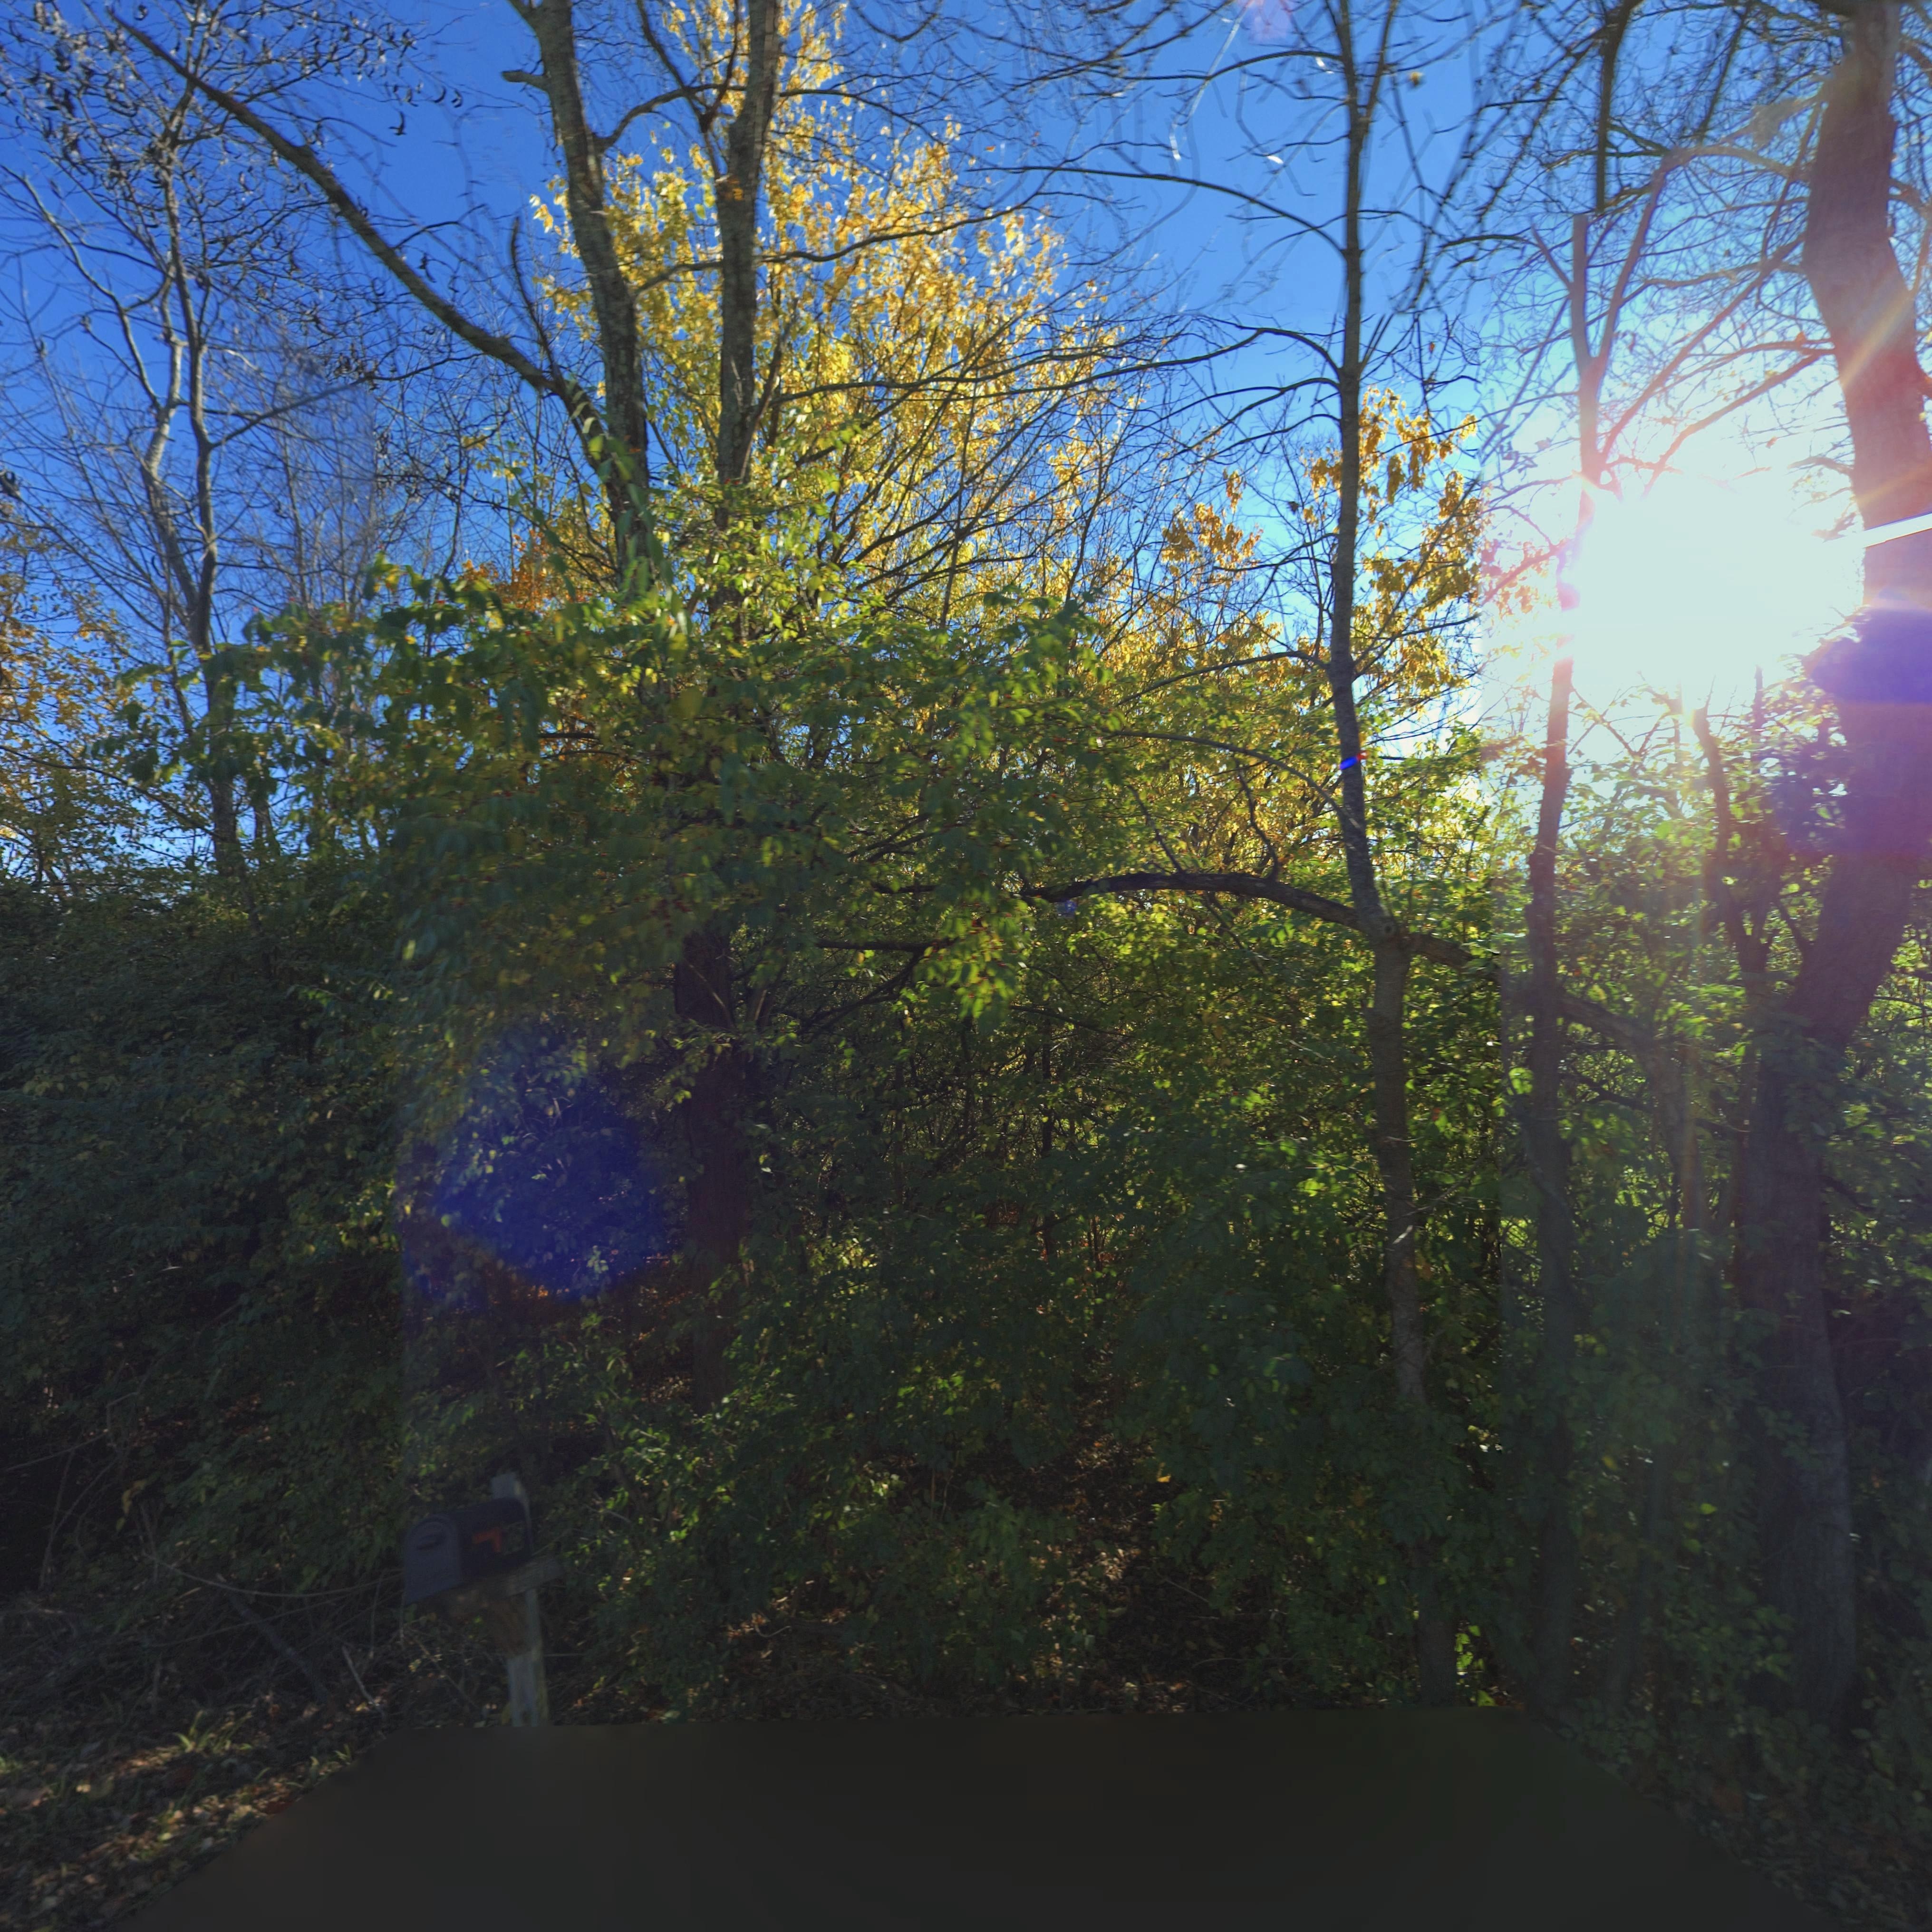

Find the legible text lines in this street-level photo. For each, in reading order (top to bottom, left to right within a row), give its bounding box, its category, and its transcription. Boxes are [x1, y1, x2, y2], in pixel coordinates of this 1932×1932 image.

[501, 1519, 527, 1557] StreetNumber: 05